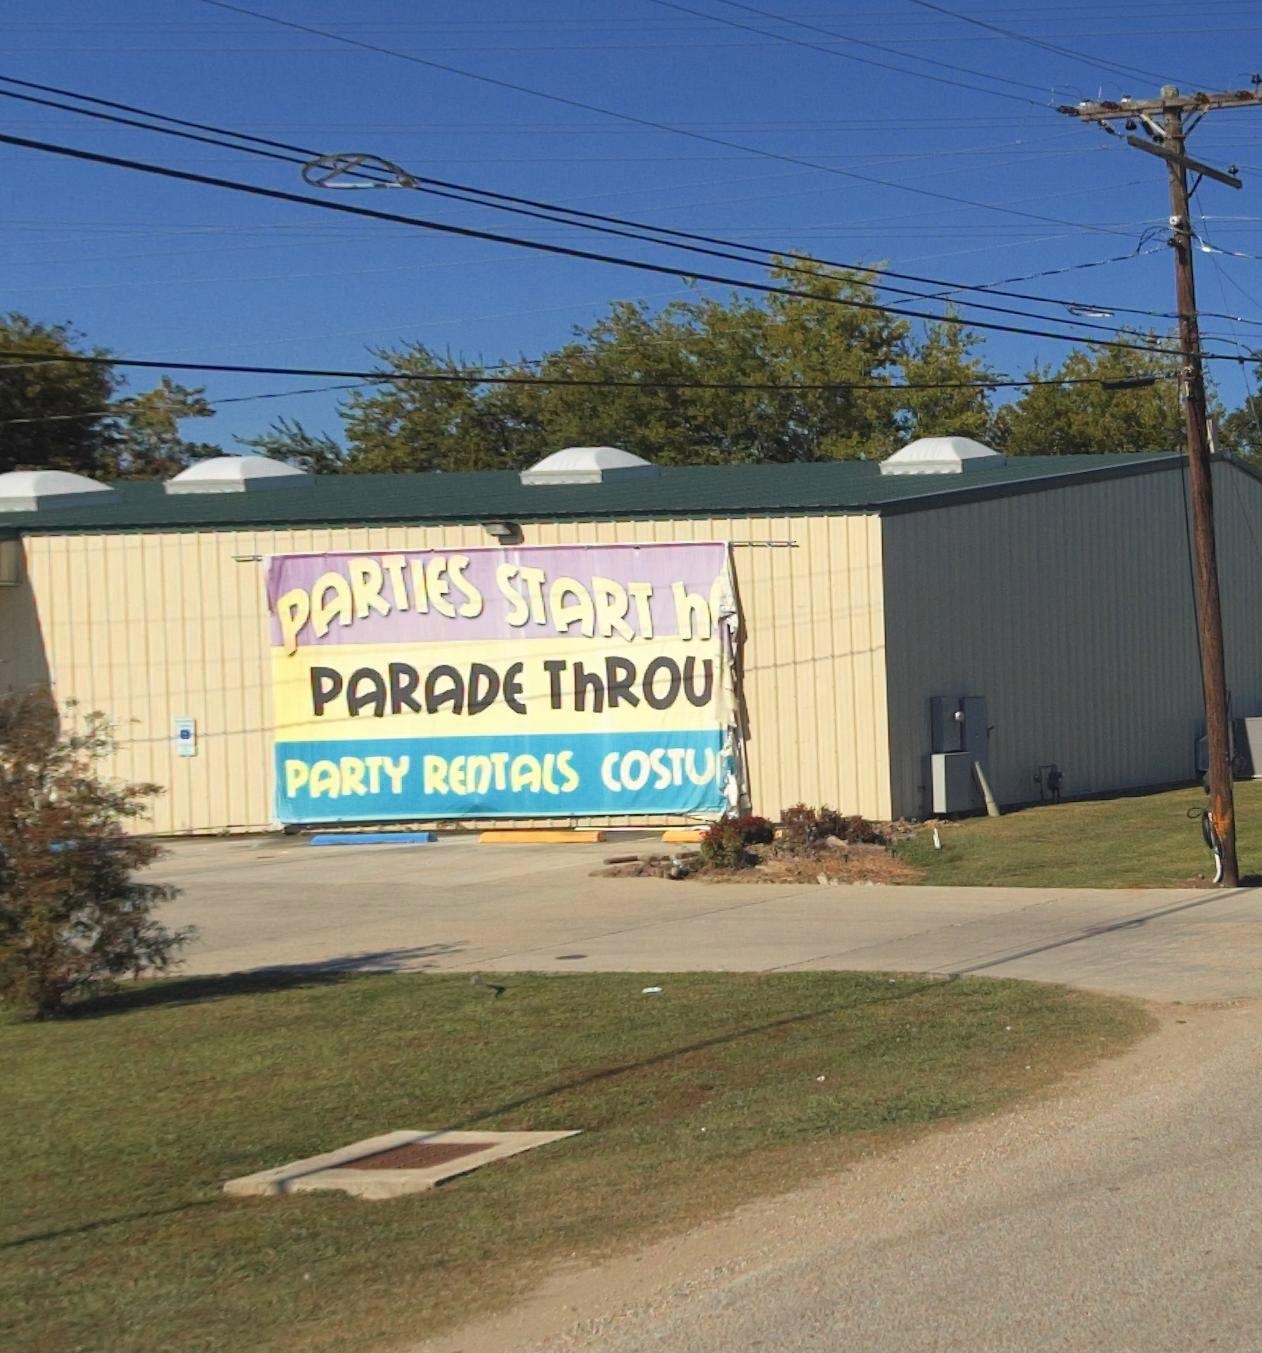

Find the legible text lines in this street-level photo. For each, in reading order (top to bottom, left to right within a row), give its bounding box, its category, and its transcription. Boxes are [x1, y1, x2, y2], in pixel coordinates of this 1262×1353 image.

[272, 553, 712, 659] None: PARTIES START h
[309, 654, 715, 718] None: PARADE ThROU
[282, 744, 717, 799] None: PARTY REnTALS COSTU